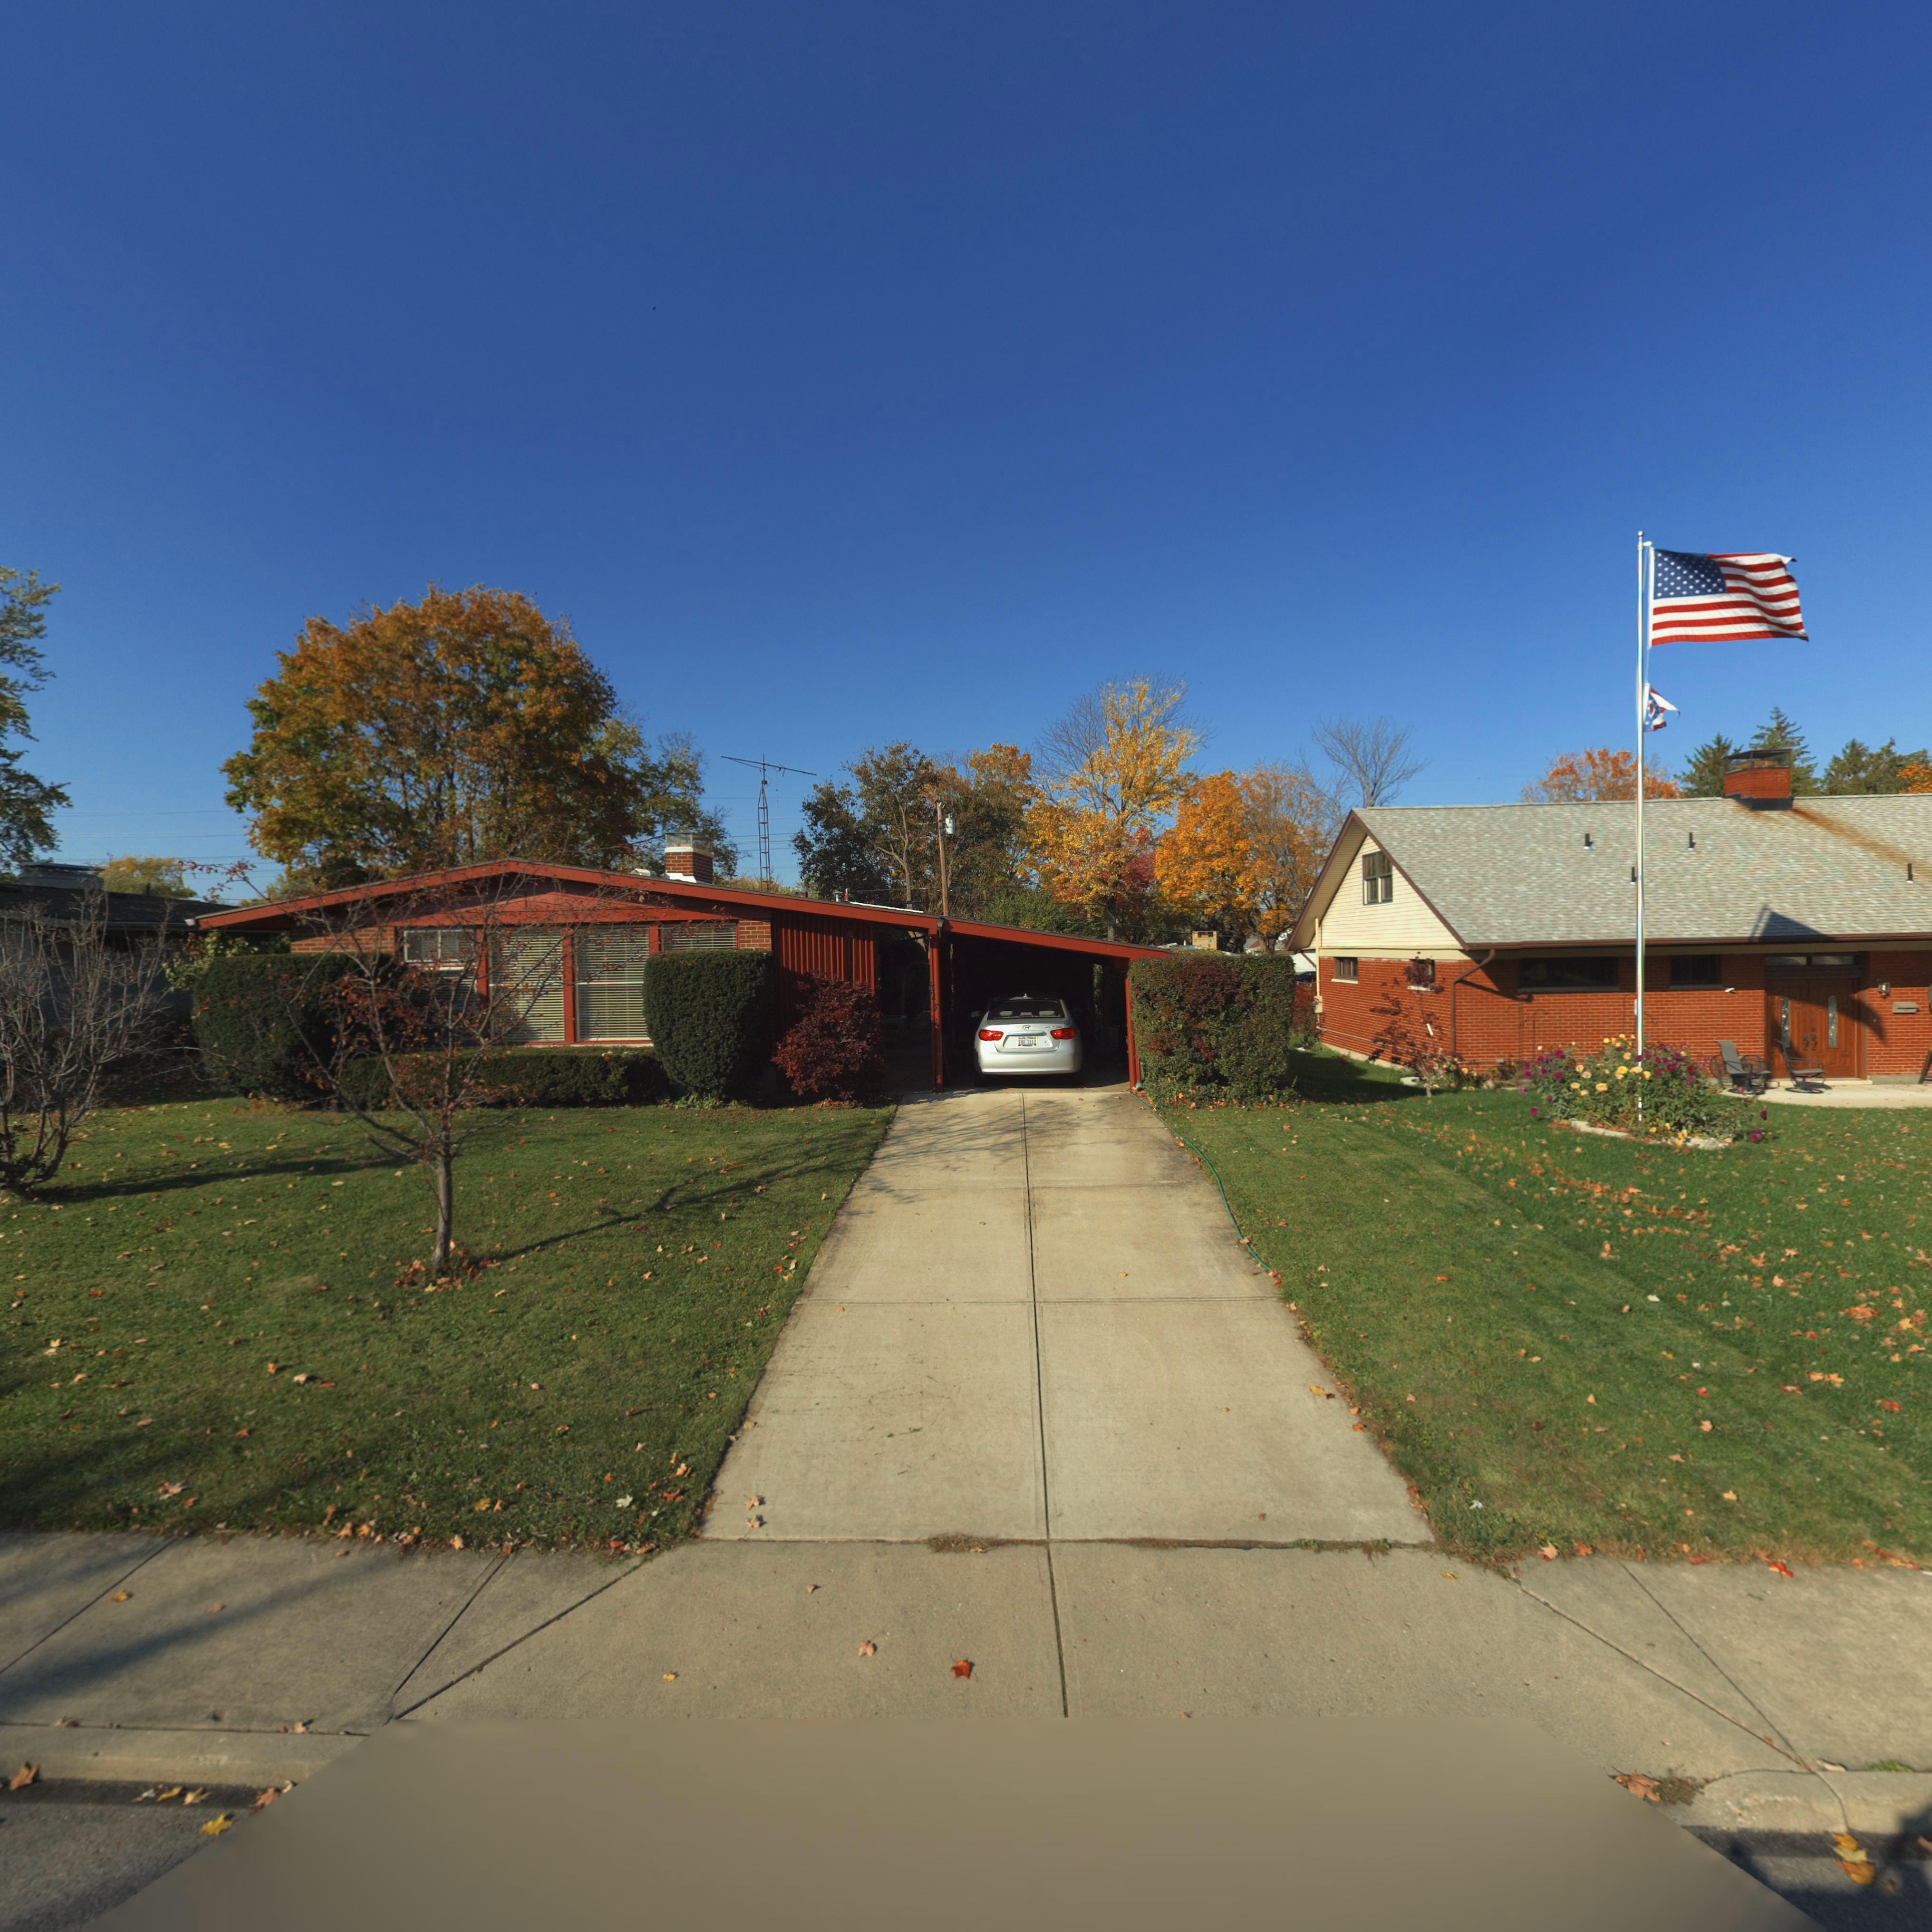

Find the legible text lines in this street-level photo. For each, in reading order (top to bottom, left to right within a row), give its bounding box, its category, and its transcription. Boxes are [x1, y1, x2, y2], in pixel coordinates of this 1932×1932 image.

[927, 979, 941, 1012] StreetNumber: 825